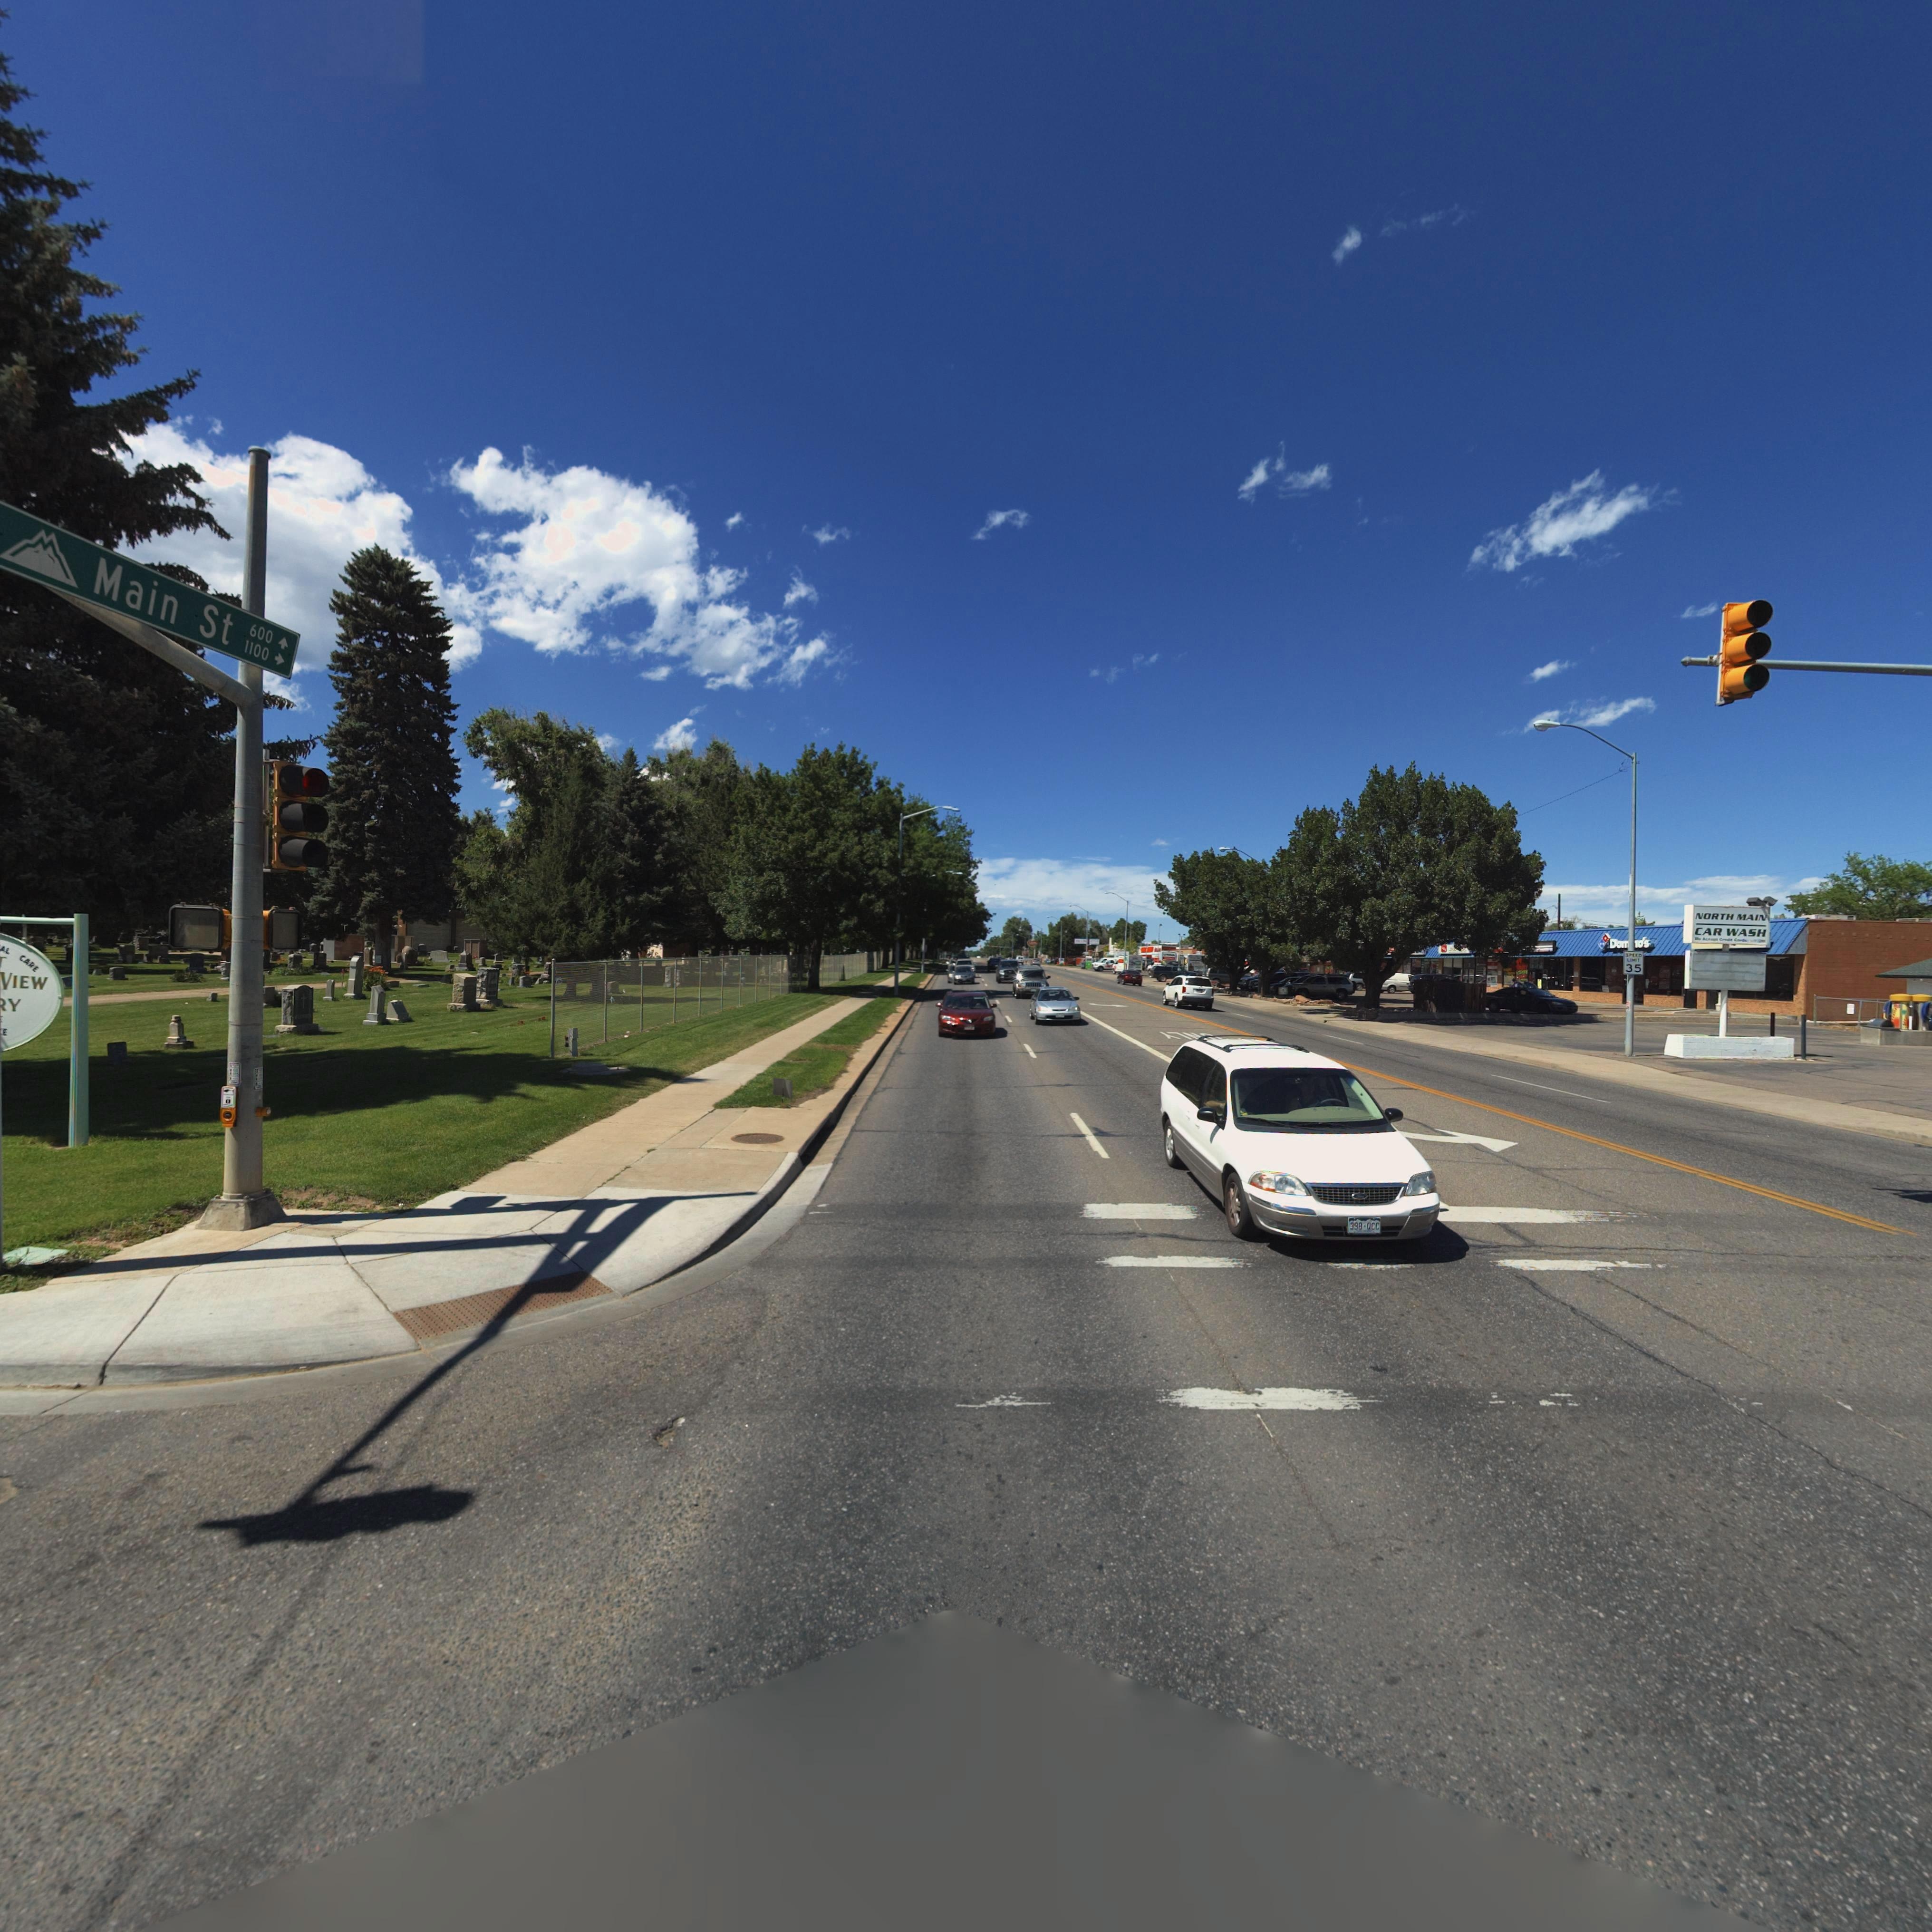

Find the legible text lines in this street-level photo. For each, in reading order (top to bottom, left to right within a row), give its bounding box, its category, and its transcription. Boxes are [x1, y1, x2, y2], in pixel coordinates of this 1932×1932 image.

[92, 555, 234, 647] StreetName: Main St
[249, 623, 274, 645] StreetNumberRange: 600
[243, 639, 286, 668] StreetNumberRange: 1100 ->
[1694, 912, 1768, 922] BusinessName: NORTH MAIN
[1694, 927, 1767, 937] BusinessName: CAR WASH
[1609, 936, 1650, 948] BusinessName: Dom**o's
[1, 971, 49, 990] BusinessName: VIEW
[1, 998, 22, 1012] BusinessName: *Y